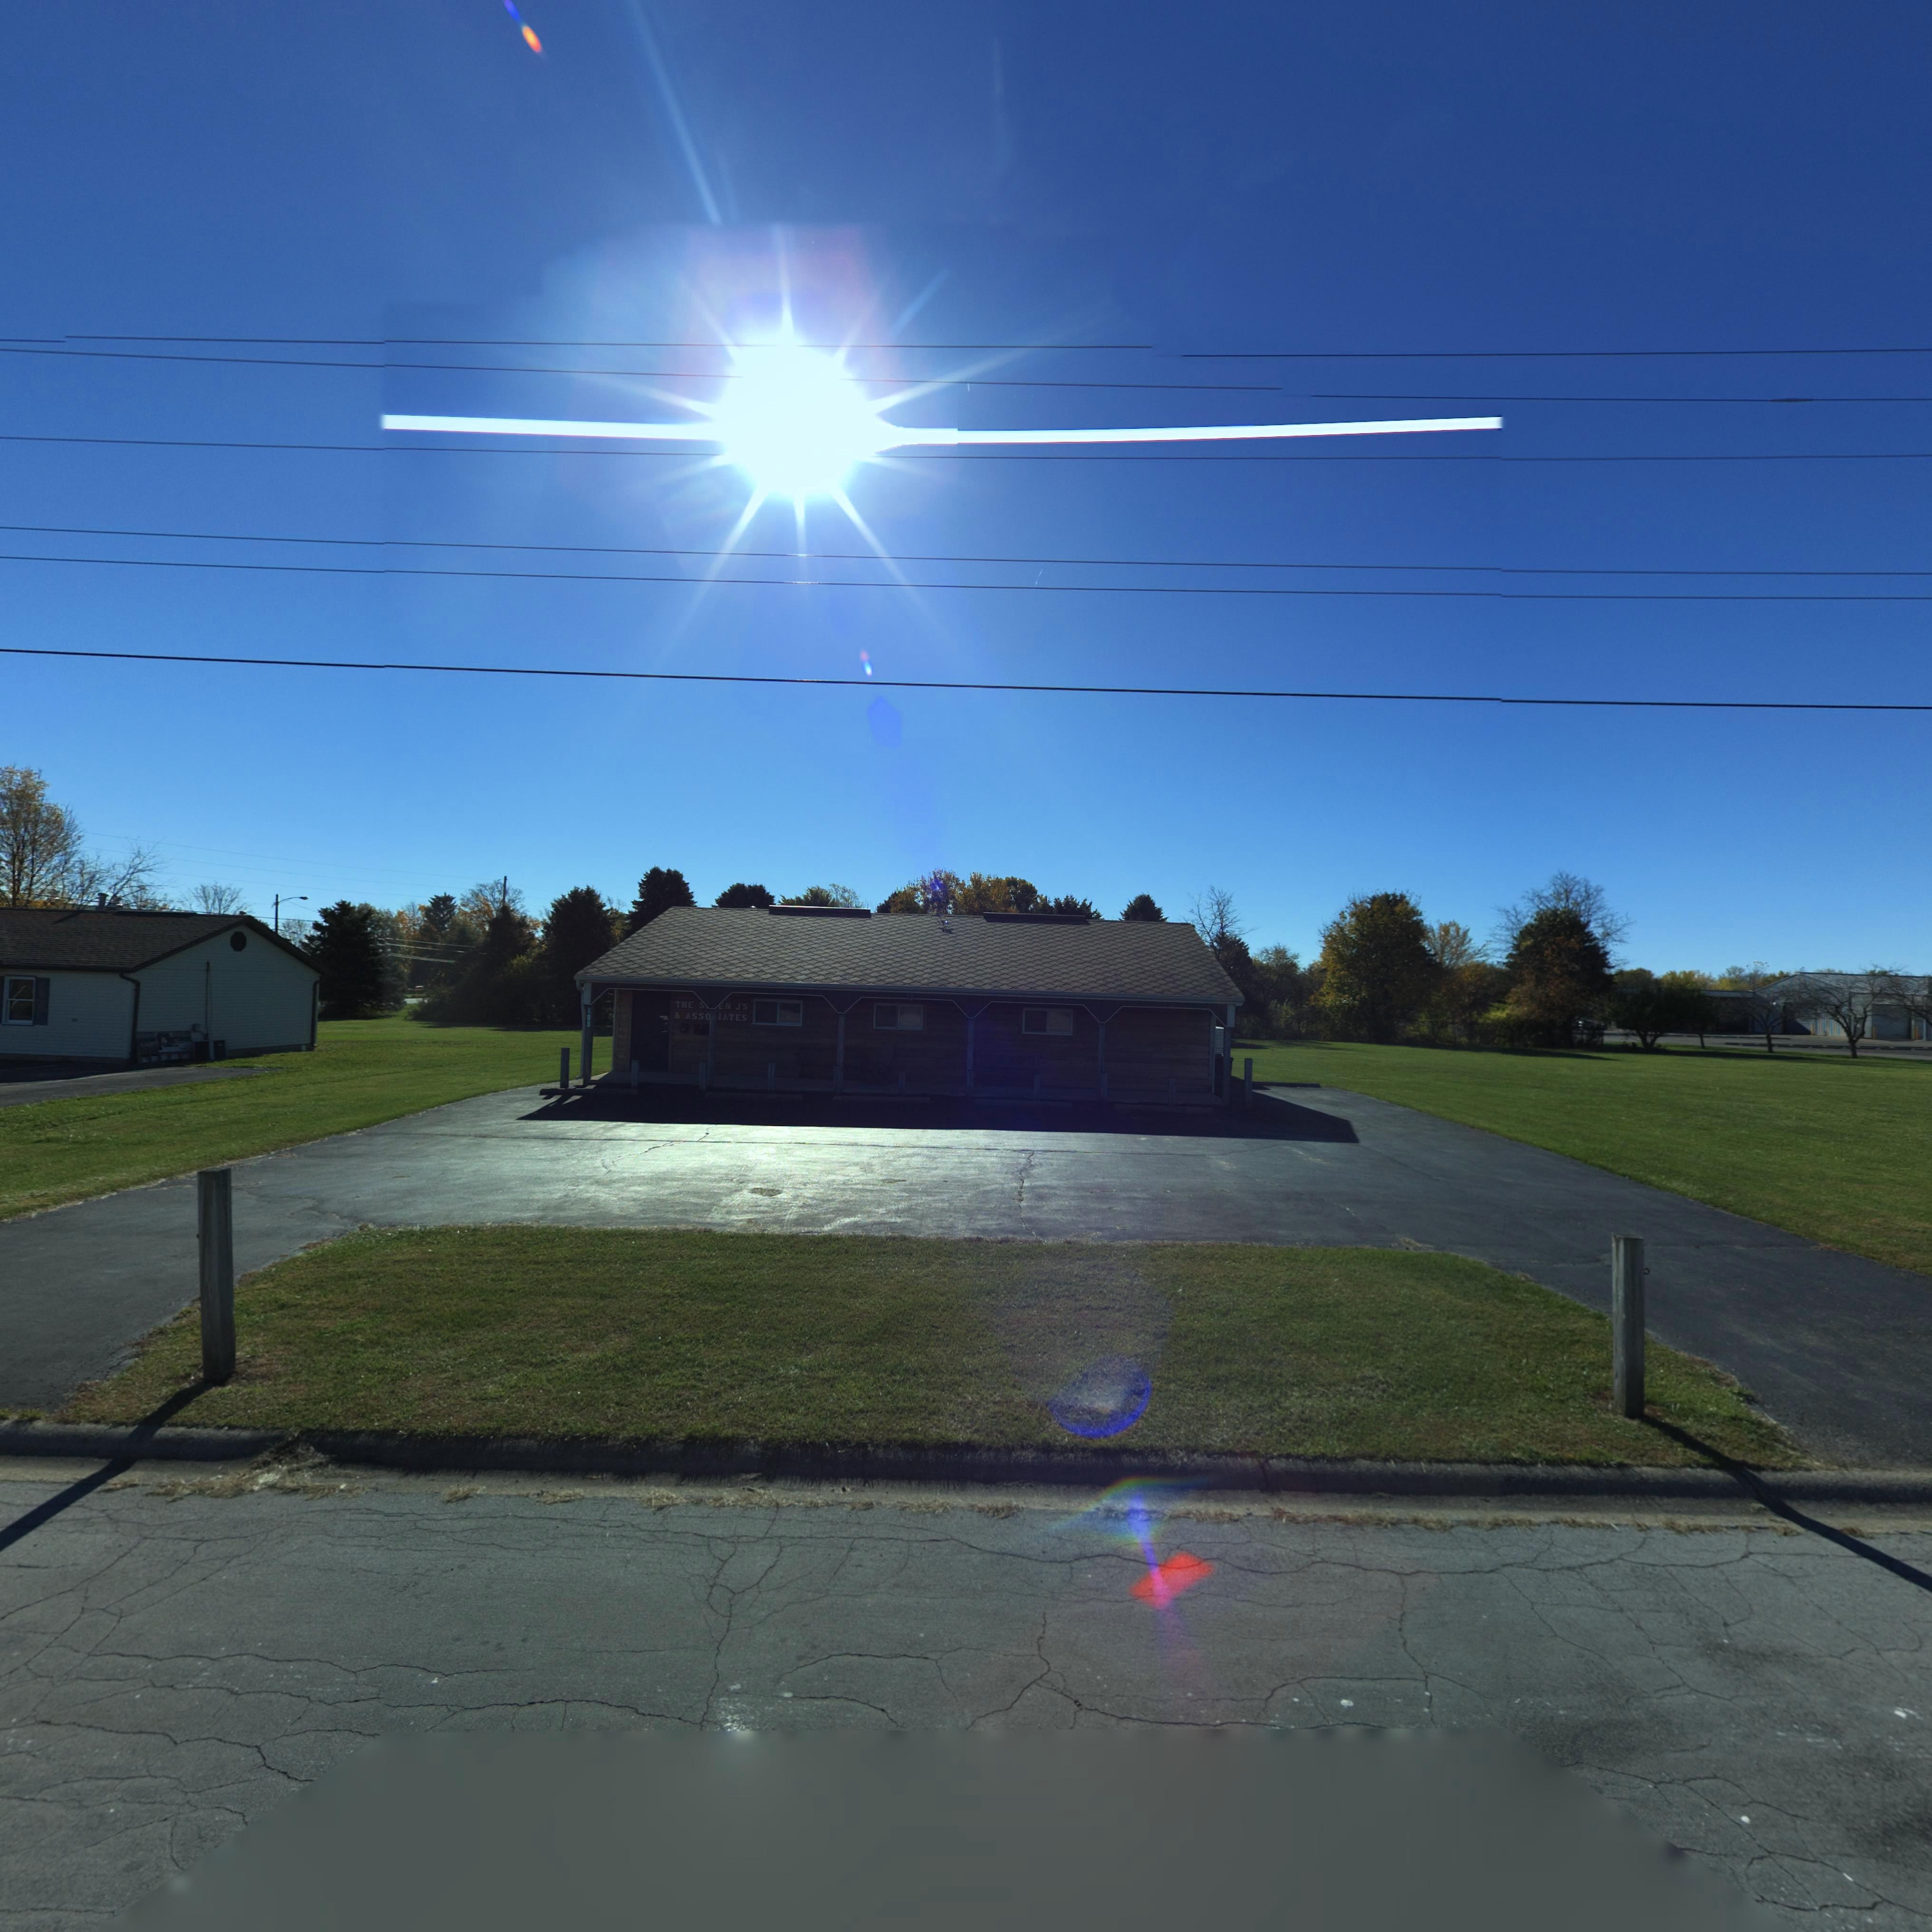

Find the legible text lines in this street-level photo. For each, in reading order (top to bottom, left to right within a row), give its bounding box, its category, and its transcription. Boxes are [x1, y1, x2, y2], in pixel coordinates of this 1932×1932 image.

[586, 1007, 591, 1028] StreetNumber: 103